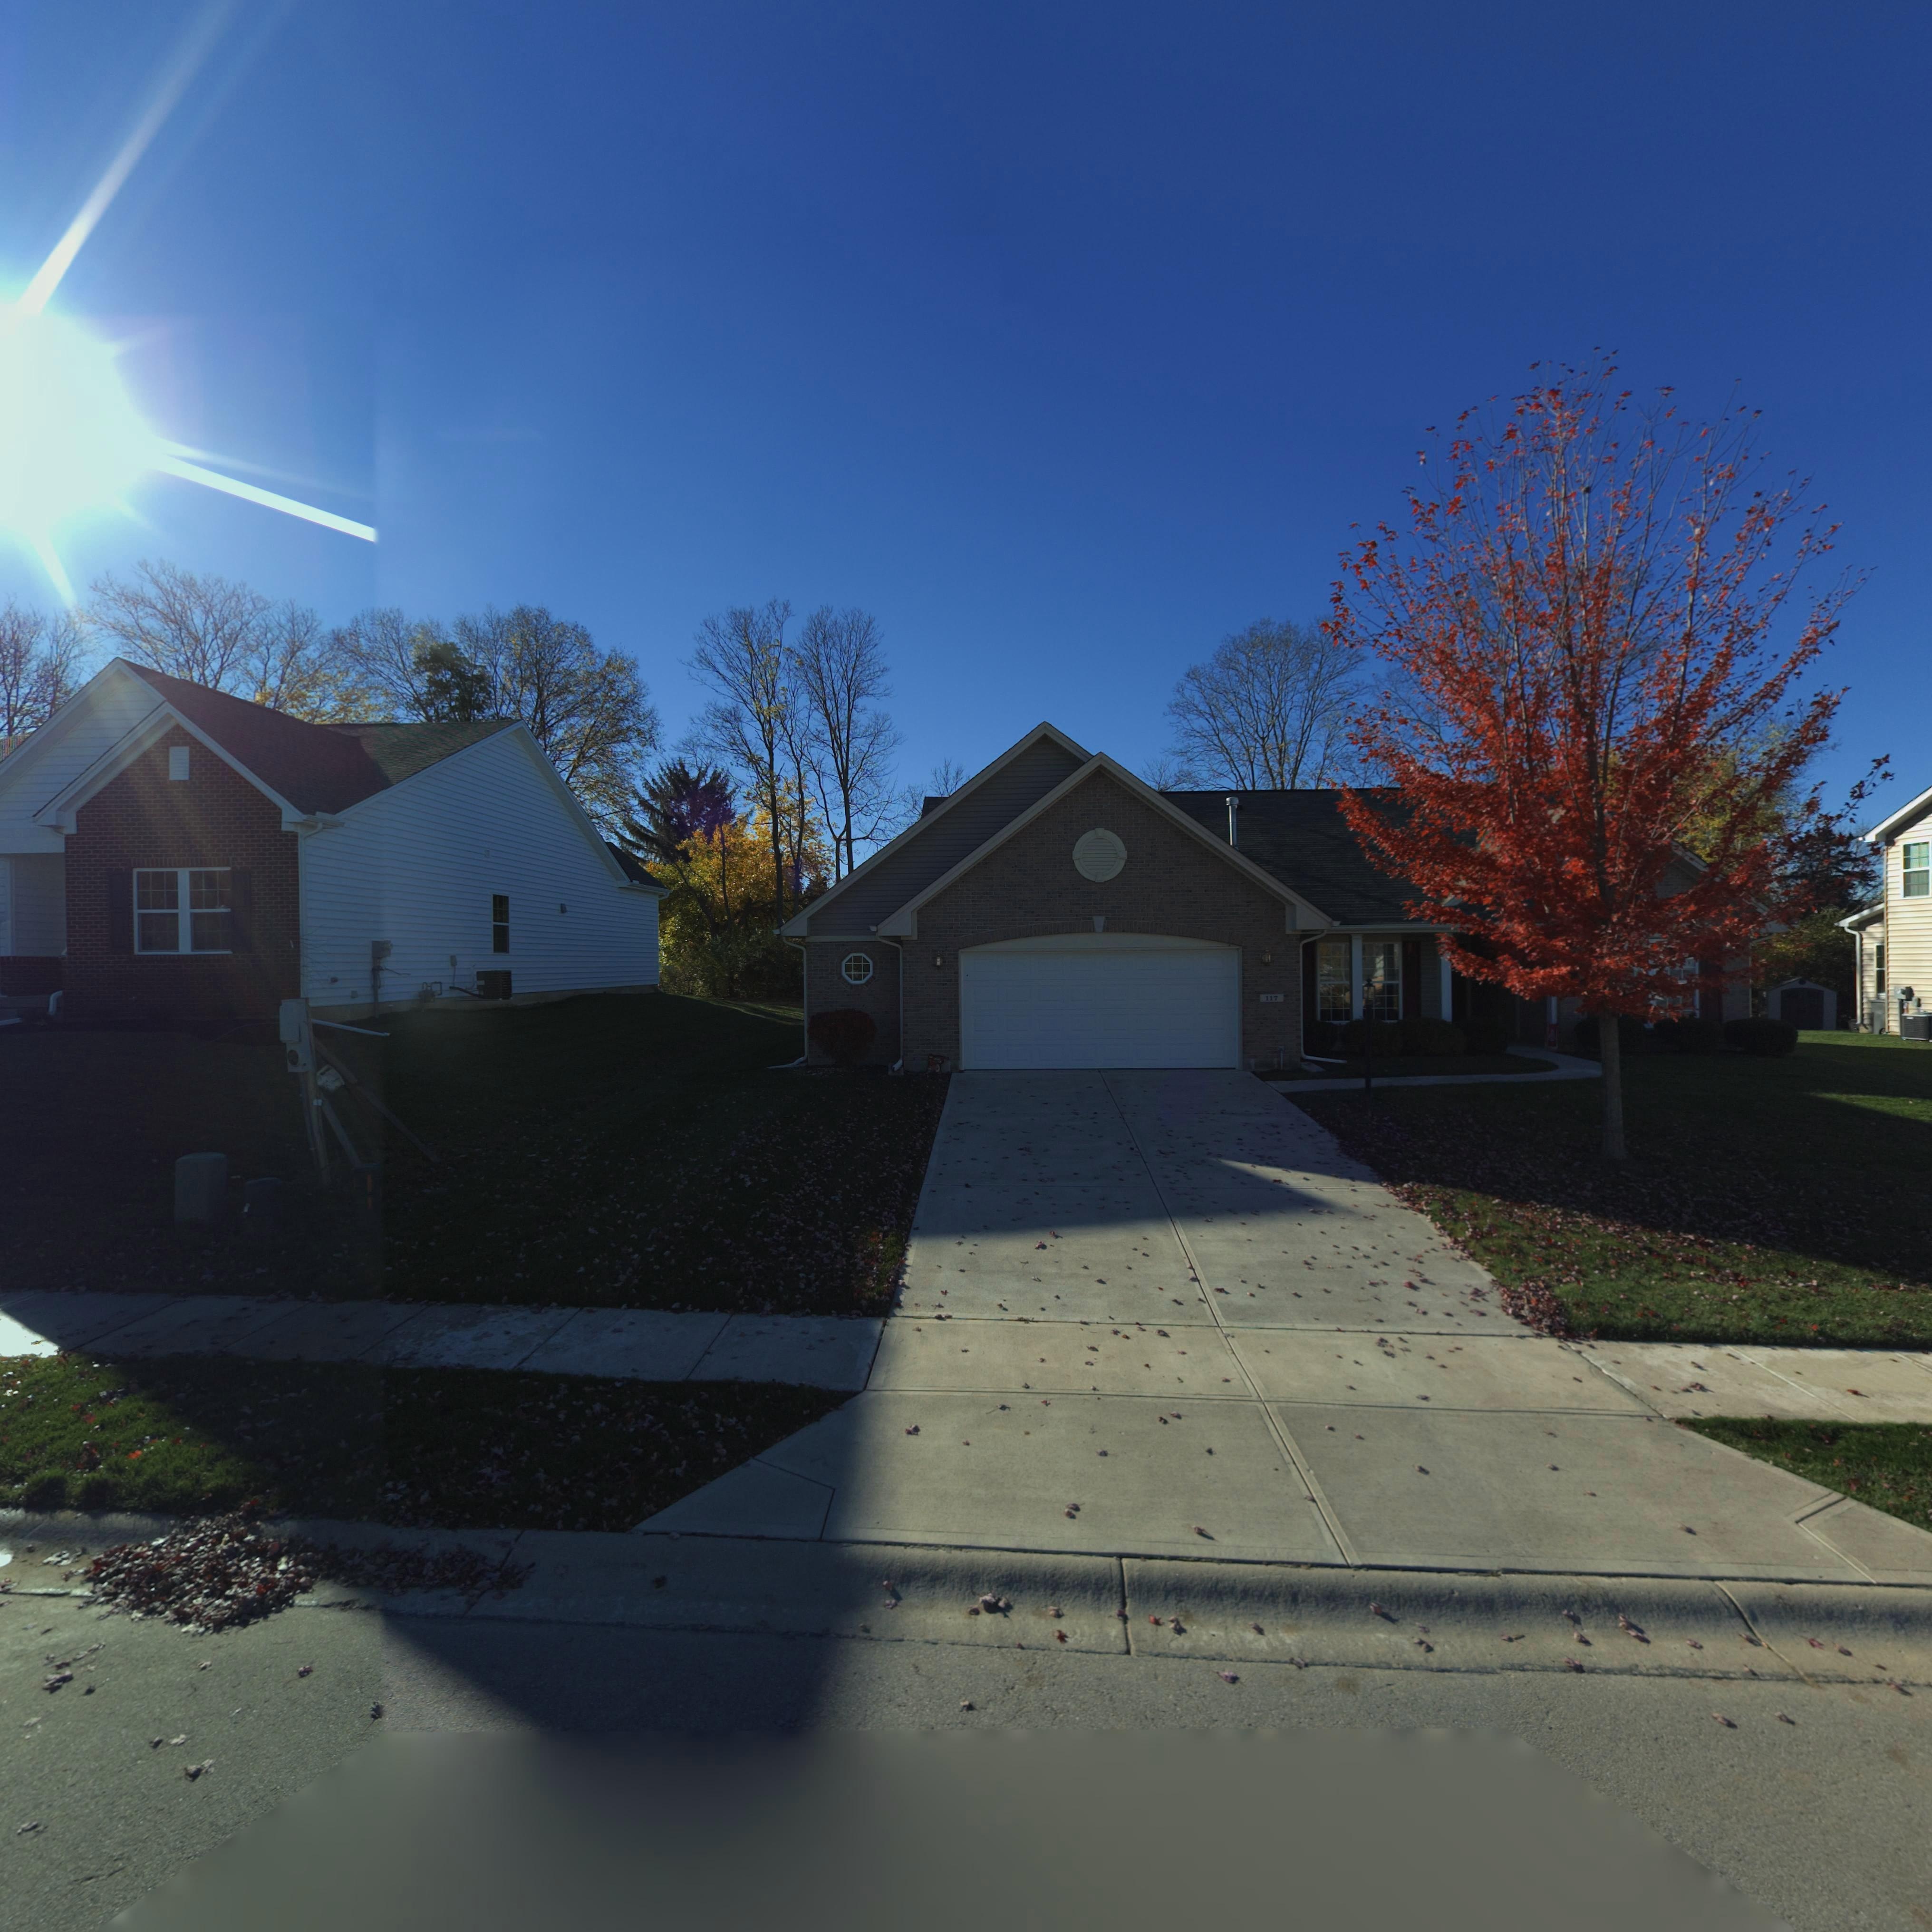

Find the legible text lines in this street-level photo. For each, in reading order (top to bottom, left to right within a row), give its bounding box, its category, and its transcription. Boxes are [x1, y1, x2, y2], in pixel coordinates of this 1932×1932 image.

[1264, 995, 1279, 1002] StreetNumber: 117